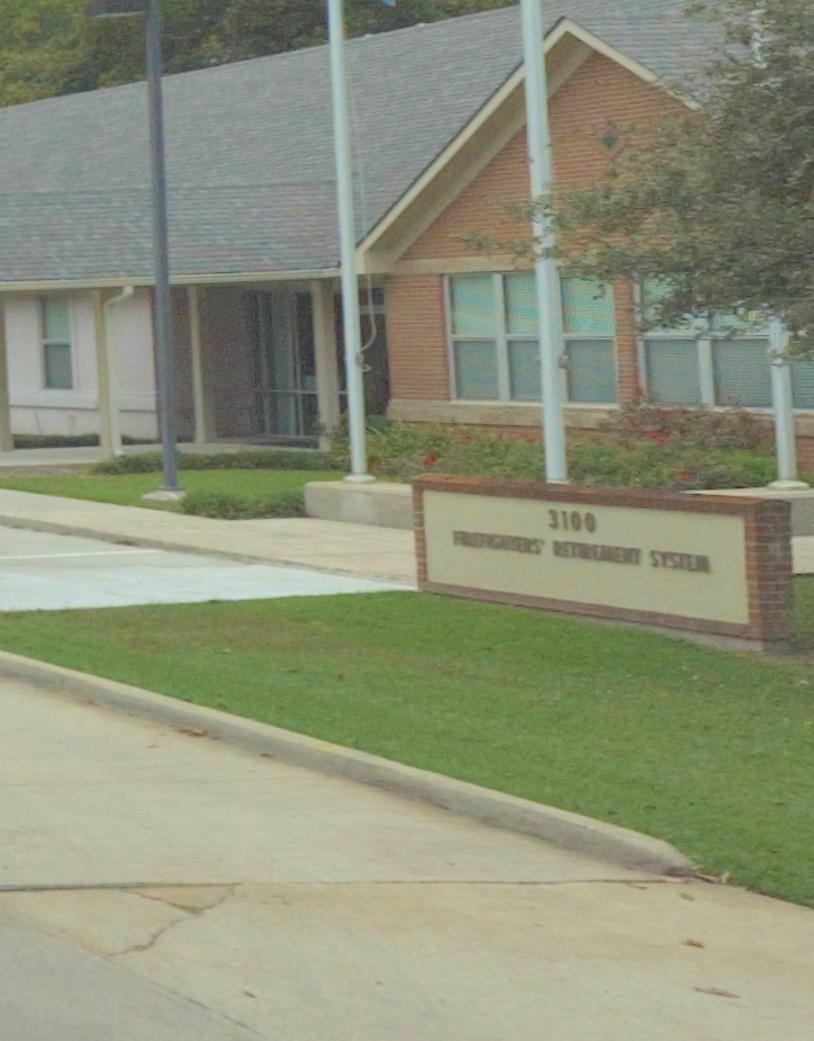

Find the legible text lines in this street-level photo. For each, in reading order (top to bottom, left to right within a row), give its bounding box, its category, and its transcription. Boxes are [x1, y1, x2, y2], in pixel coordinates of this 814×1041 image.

[545, 508, 598, 534] StreetNumber: 3100
[550, 540, 714, 574] BusinessName: RETIREMENT SYSTEM